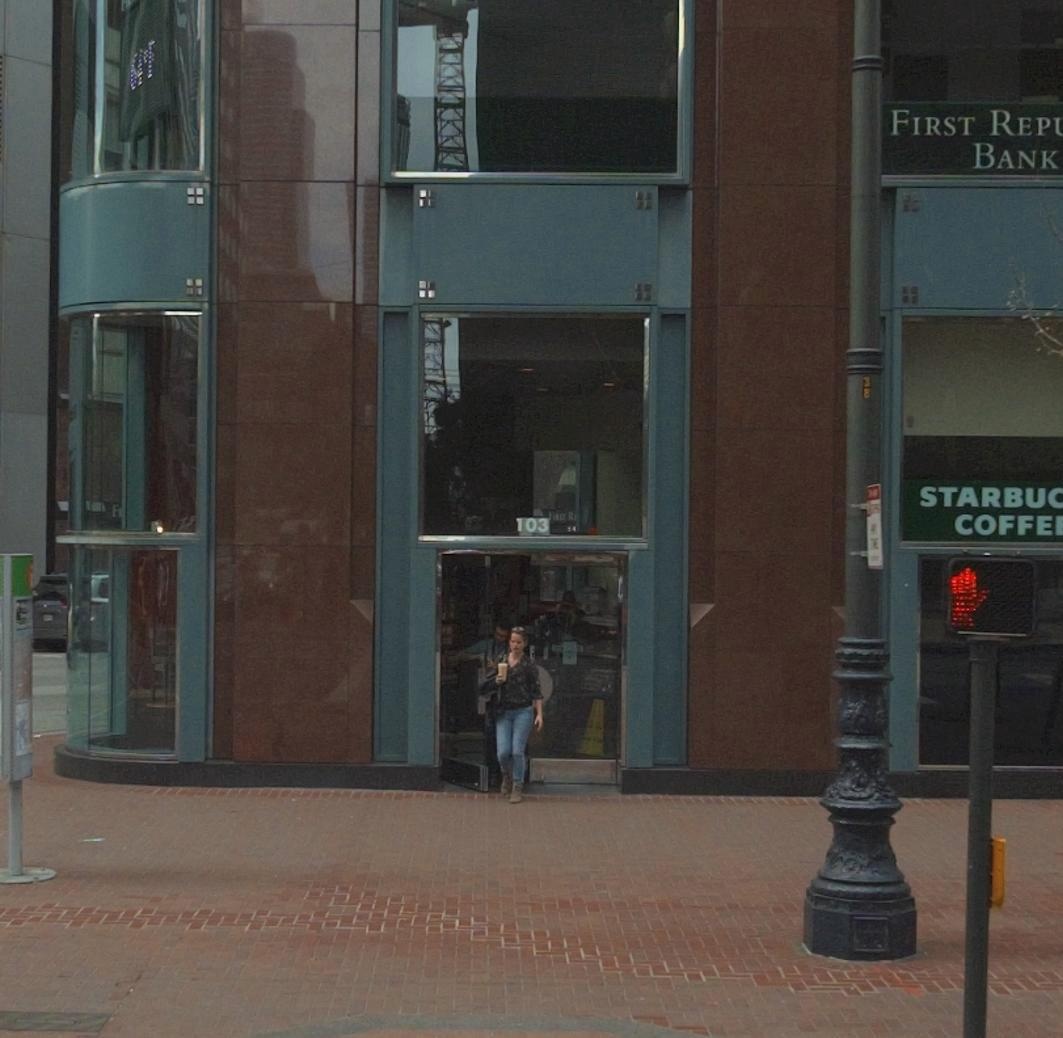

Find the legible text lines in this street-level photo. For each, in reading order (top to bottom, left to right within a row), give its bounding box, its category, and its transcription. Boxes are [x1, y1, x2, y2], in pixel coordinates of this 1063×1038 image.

[127, 36, 158, 95] None: 64*F
[888, 104, 1058, 143] BusinessName: FIRST REP
[968, 136, 1063, 176] BusinessName: BANK
[914, 481, 1051, 514] BusinessName: STARBU
[514, 516, 551, 534] StreetNumber: 103
[950, 509, 1058, 541] BusinessName: COFFE